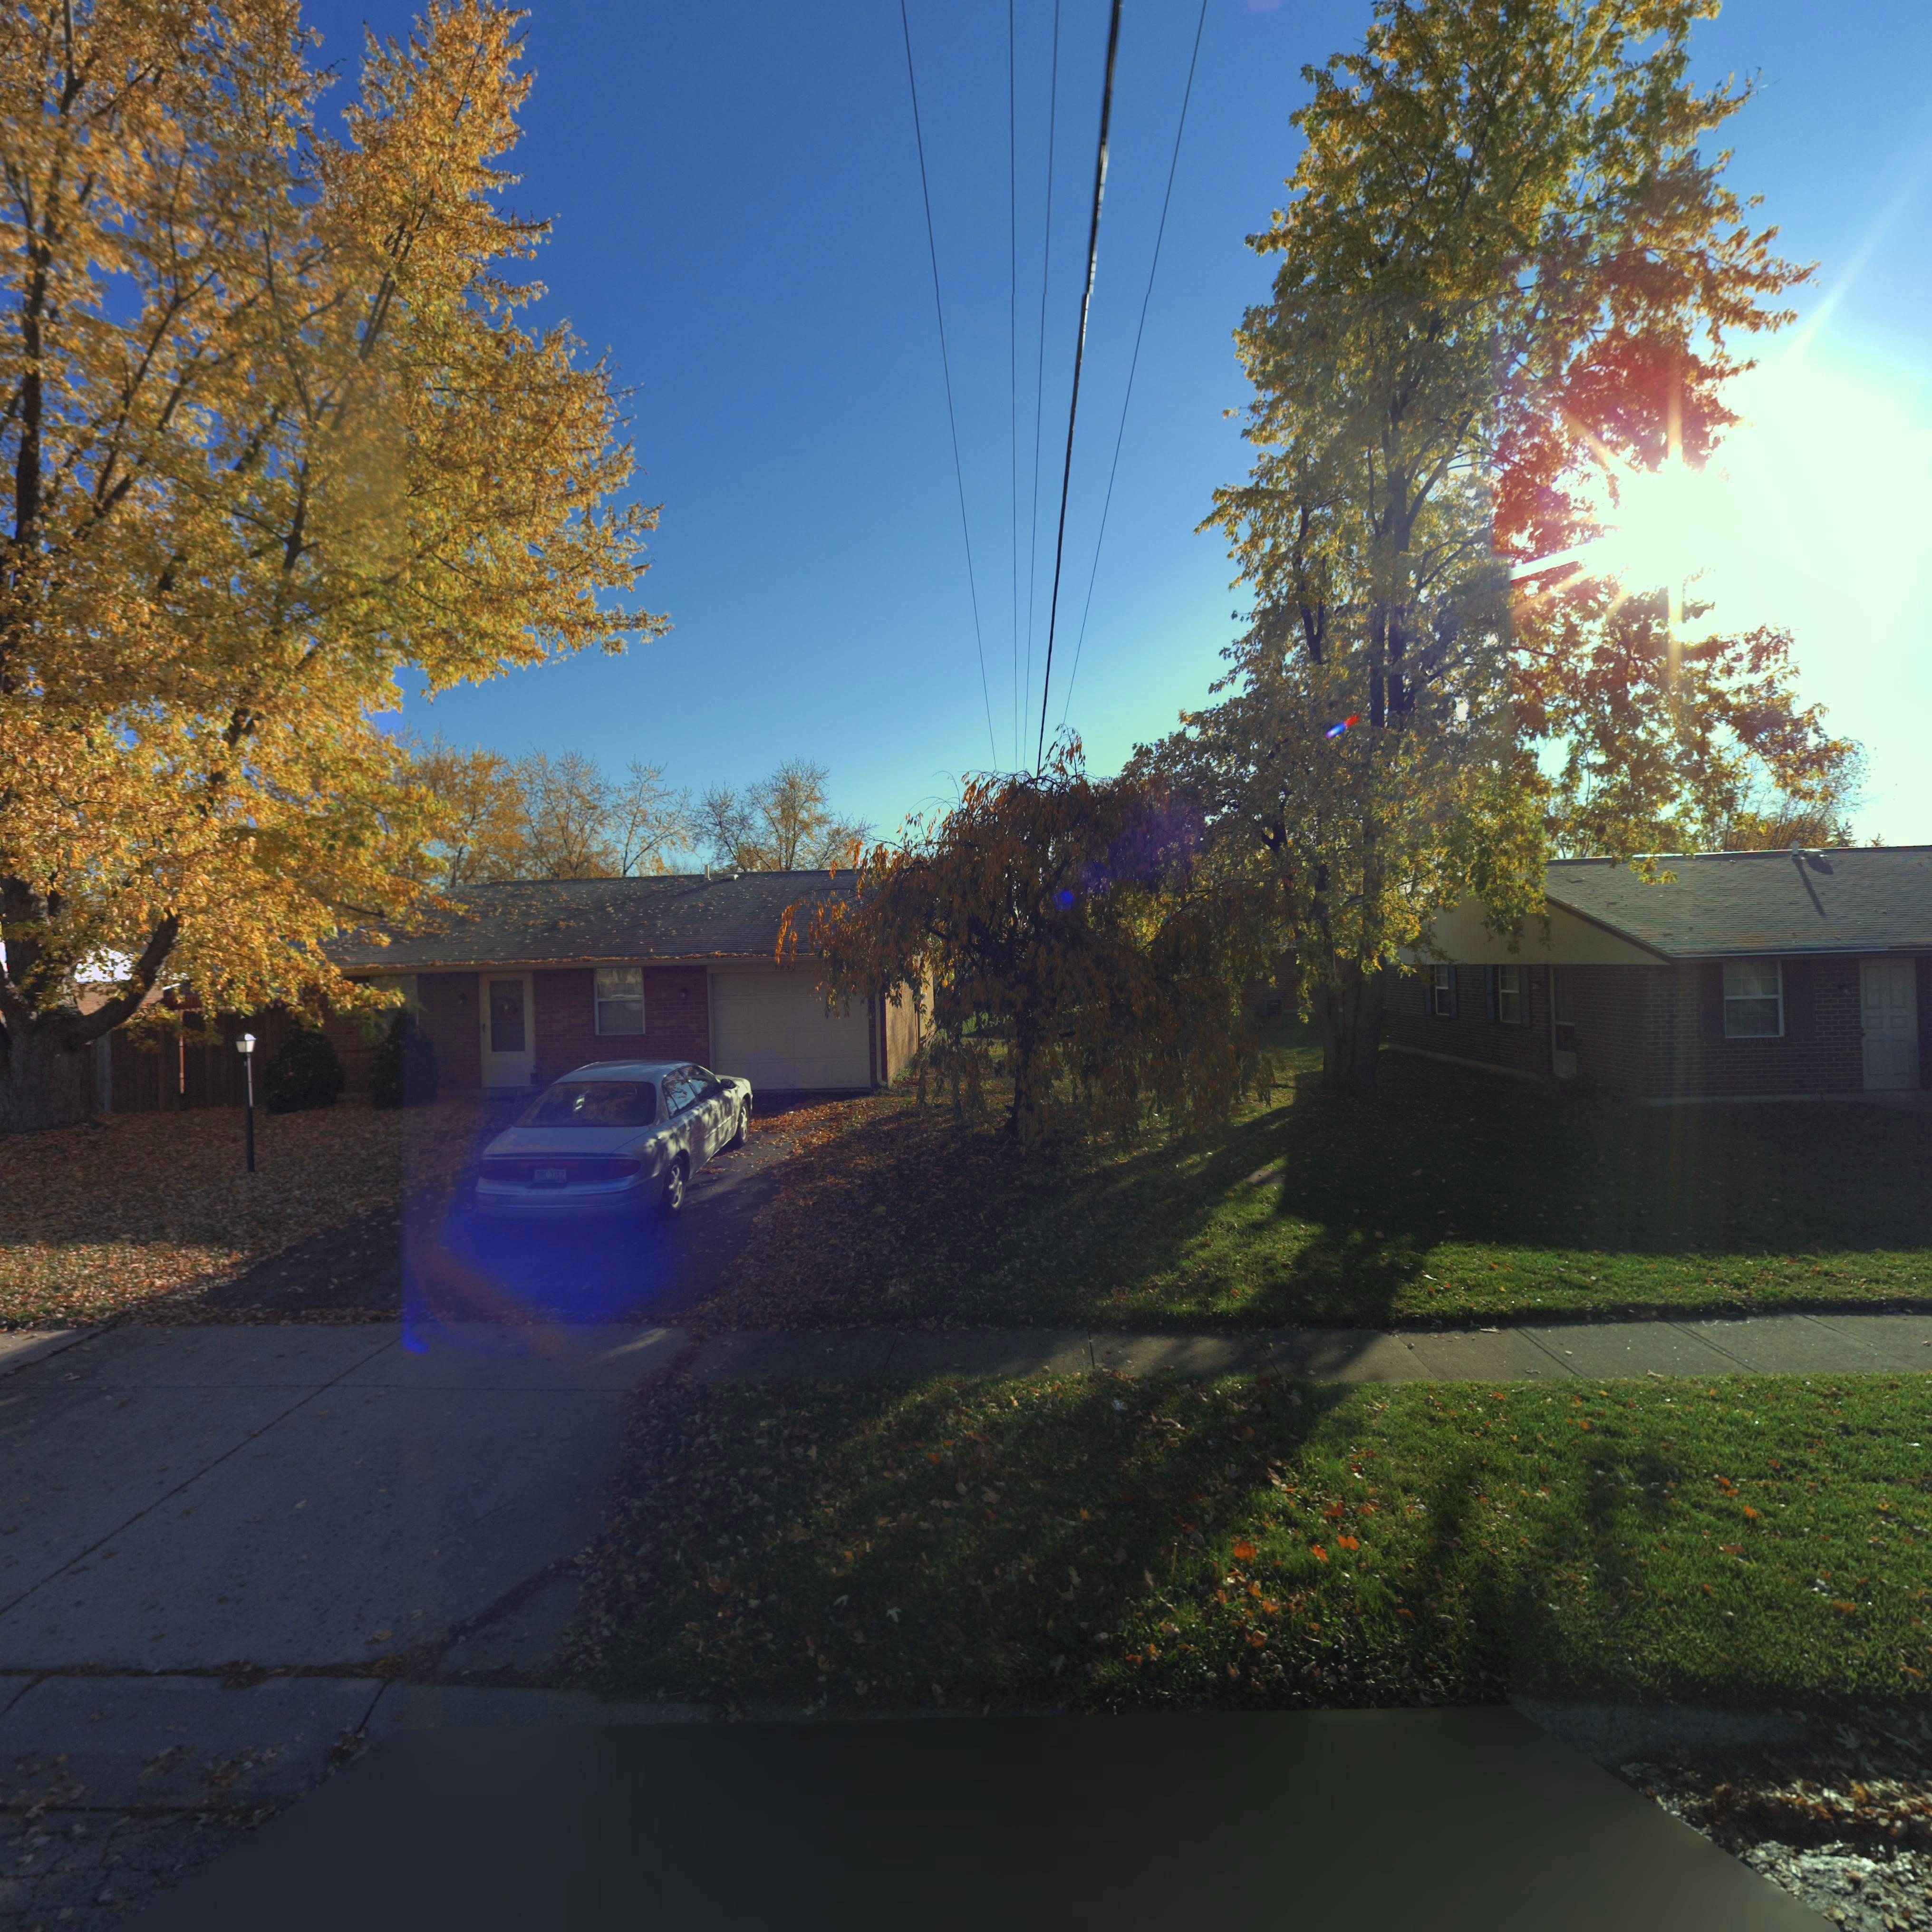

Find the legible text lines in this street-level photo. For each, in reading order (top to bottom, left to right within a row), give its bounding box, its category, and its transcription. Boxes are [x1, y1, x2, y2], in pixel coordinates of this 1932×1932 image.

[774, 964, 797, 972] StreetNumber: 78**